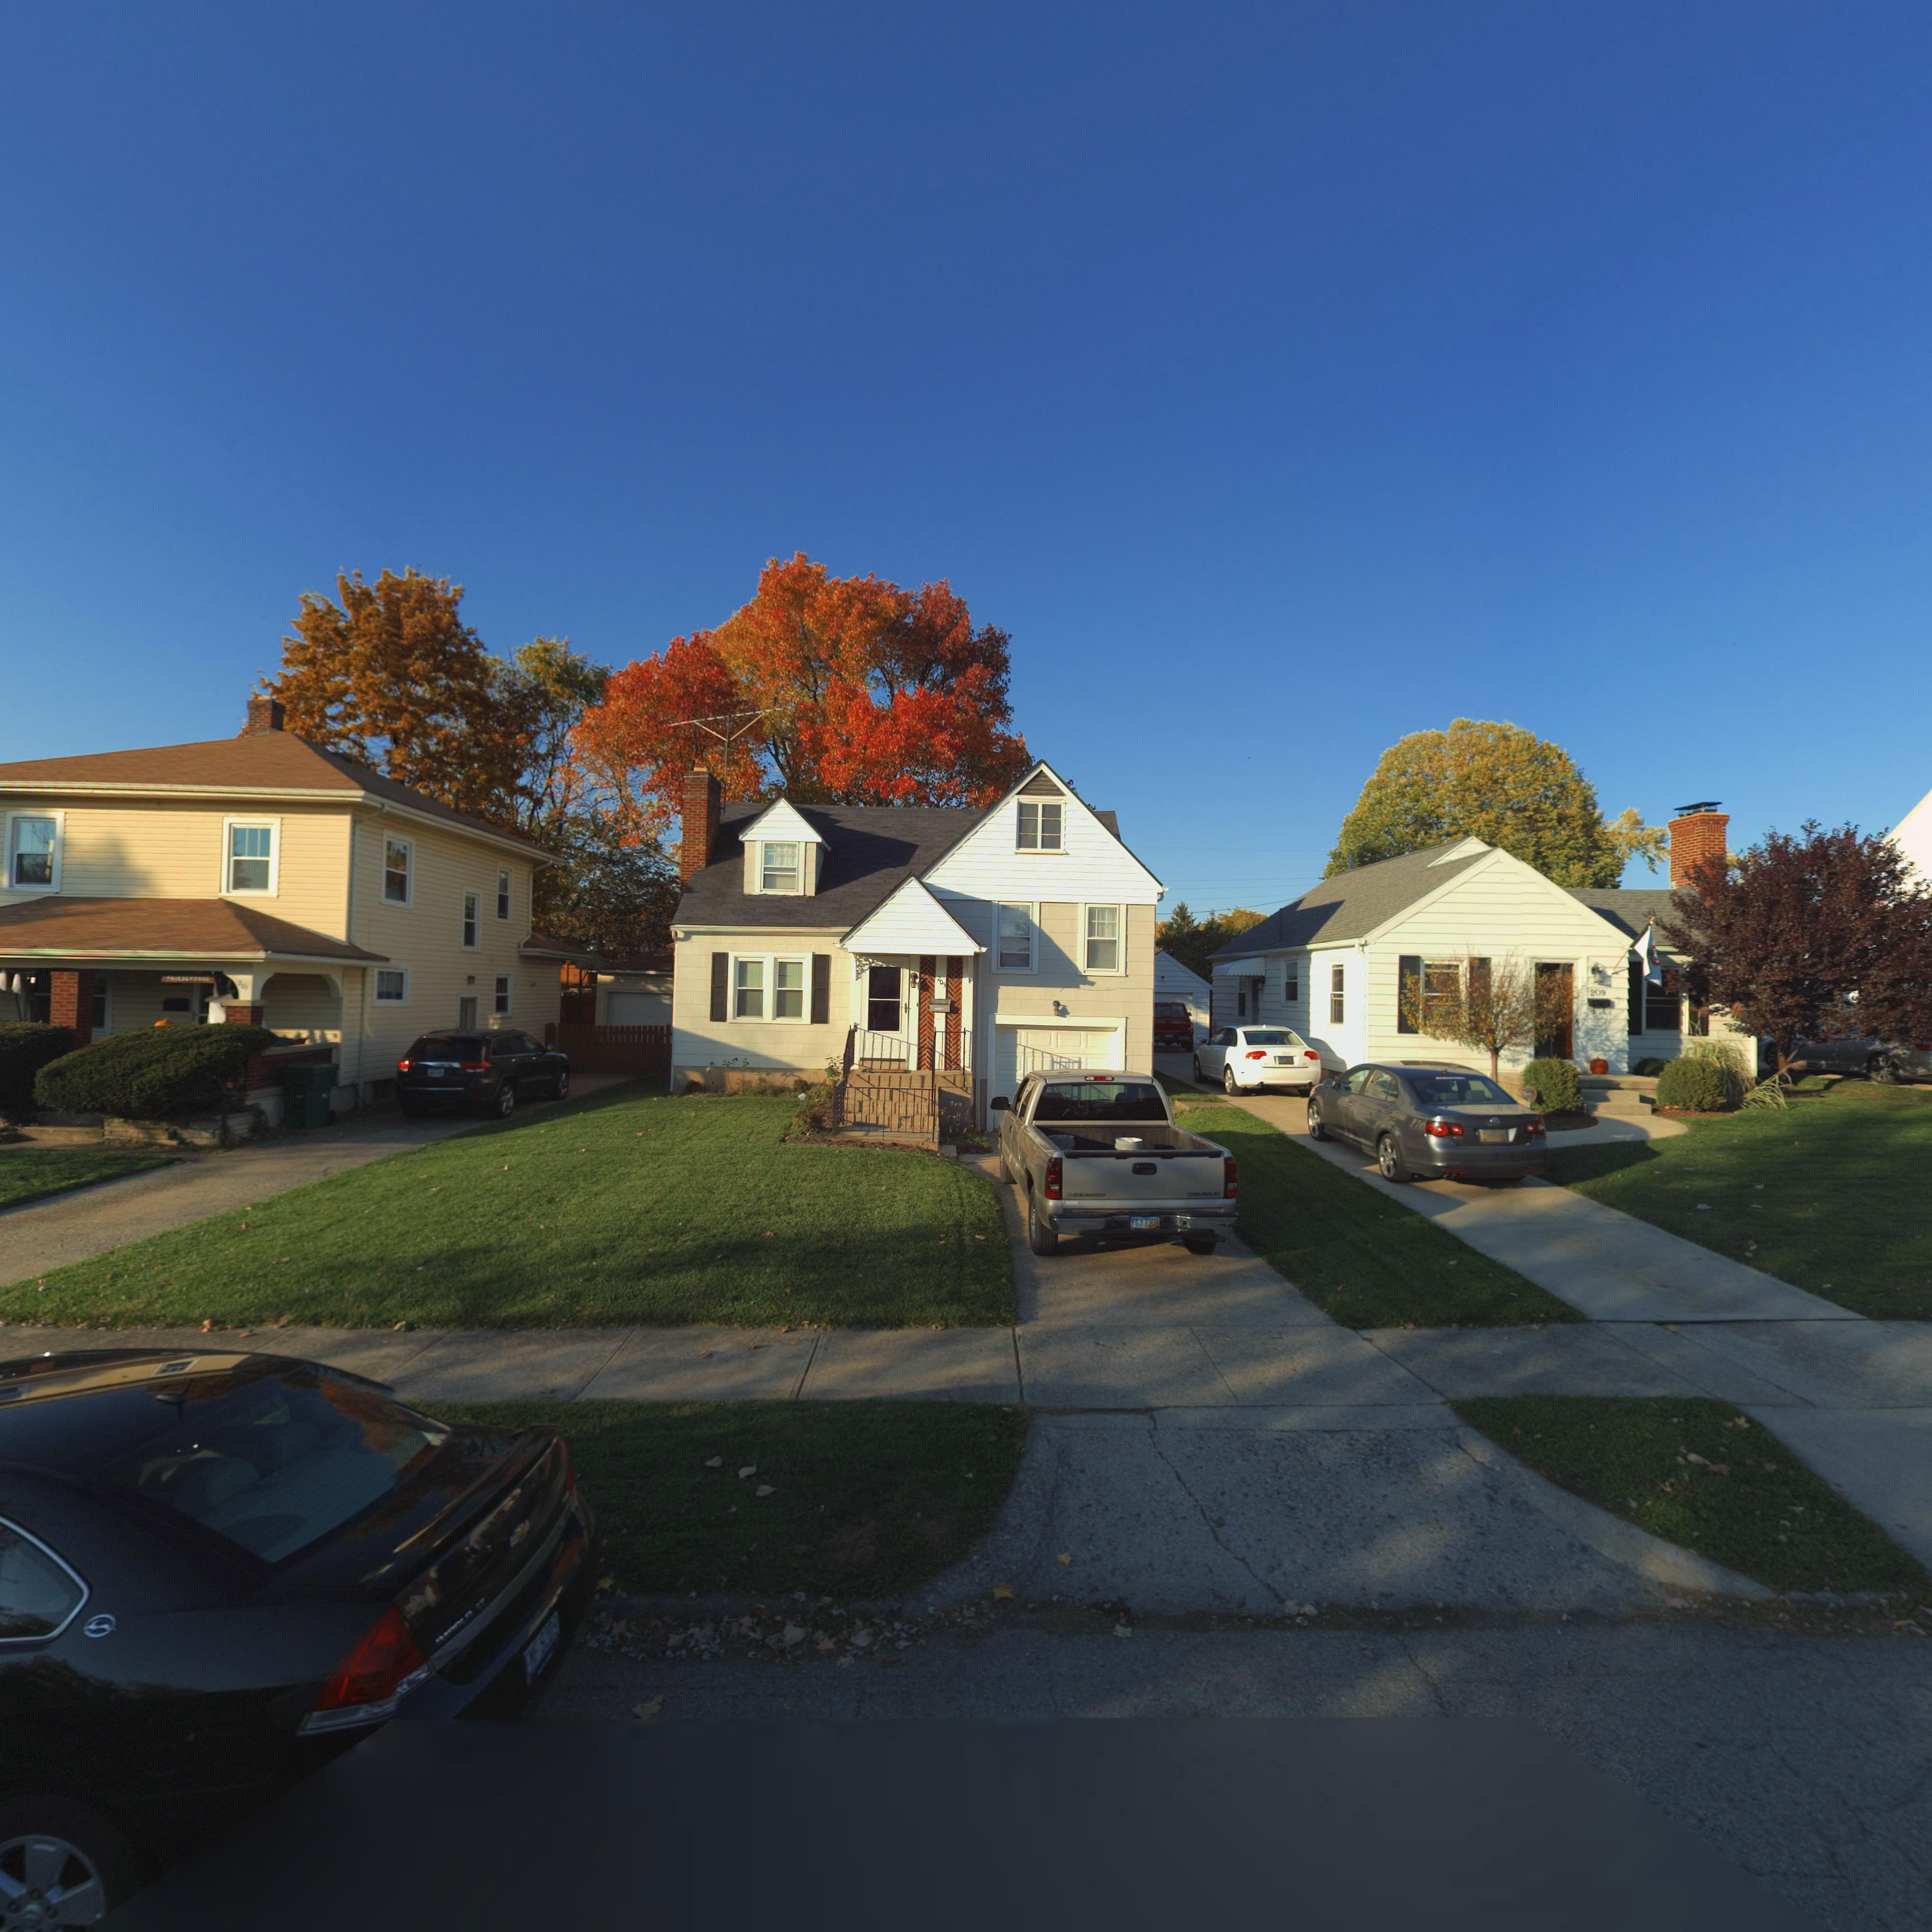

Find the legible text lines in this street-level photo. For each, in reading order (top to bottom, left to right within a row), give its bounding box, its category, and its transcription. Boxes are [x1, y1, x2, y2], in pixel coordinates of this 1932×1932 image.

[237, 979, 249, 992] StreetNumber: 201
[937, 975, 947, 988] StreetNumber: 205
[1589, 988, 1606, 996] StreetNumber: 209